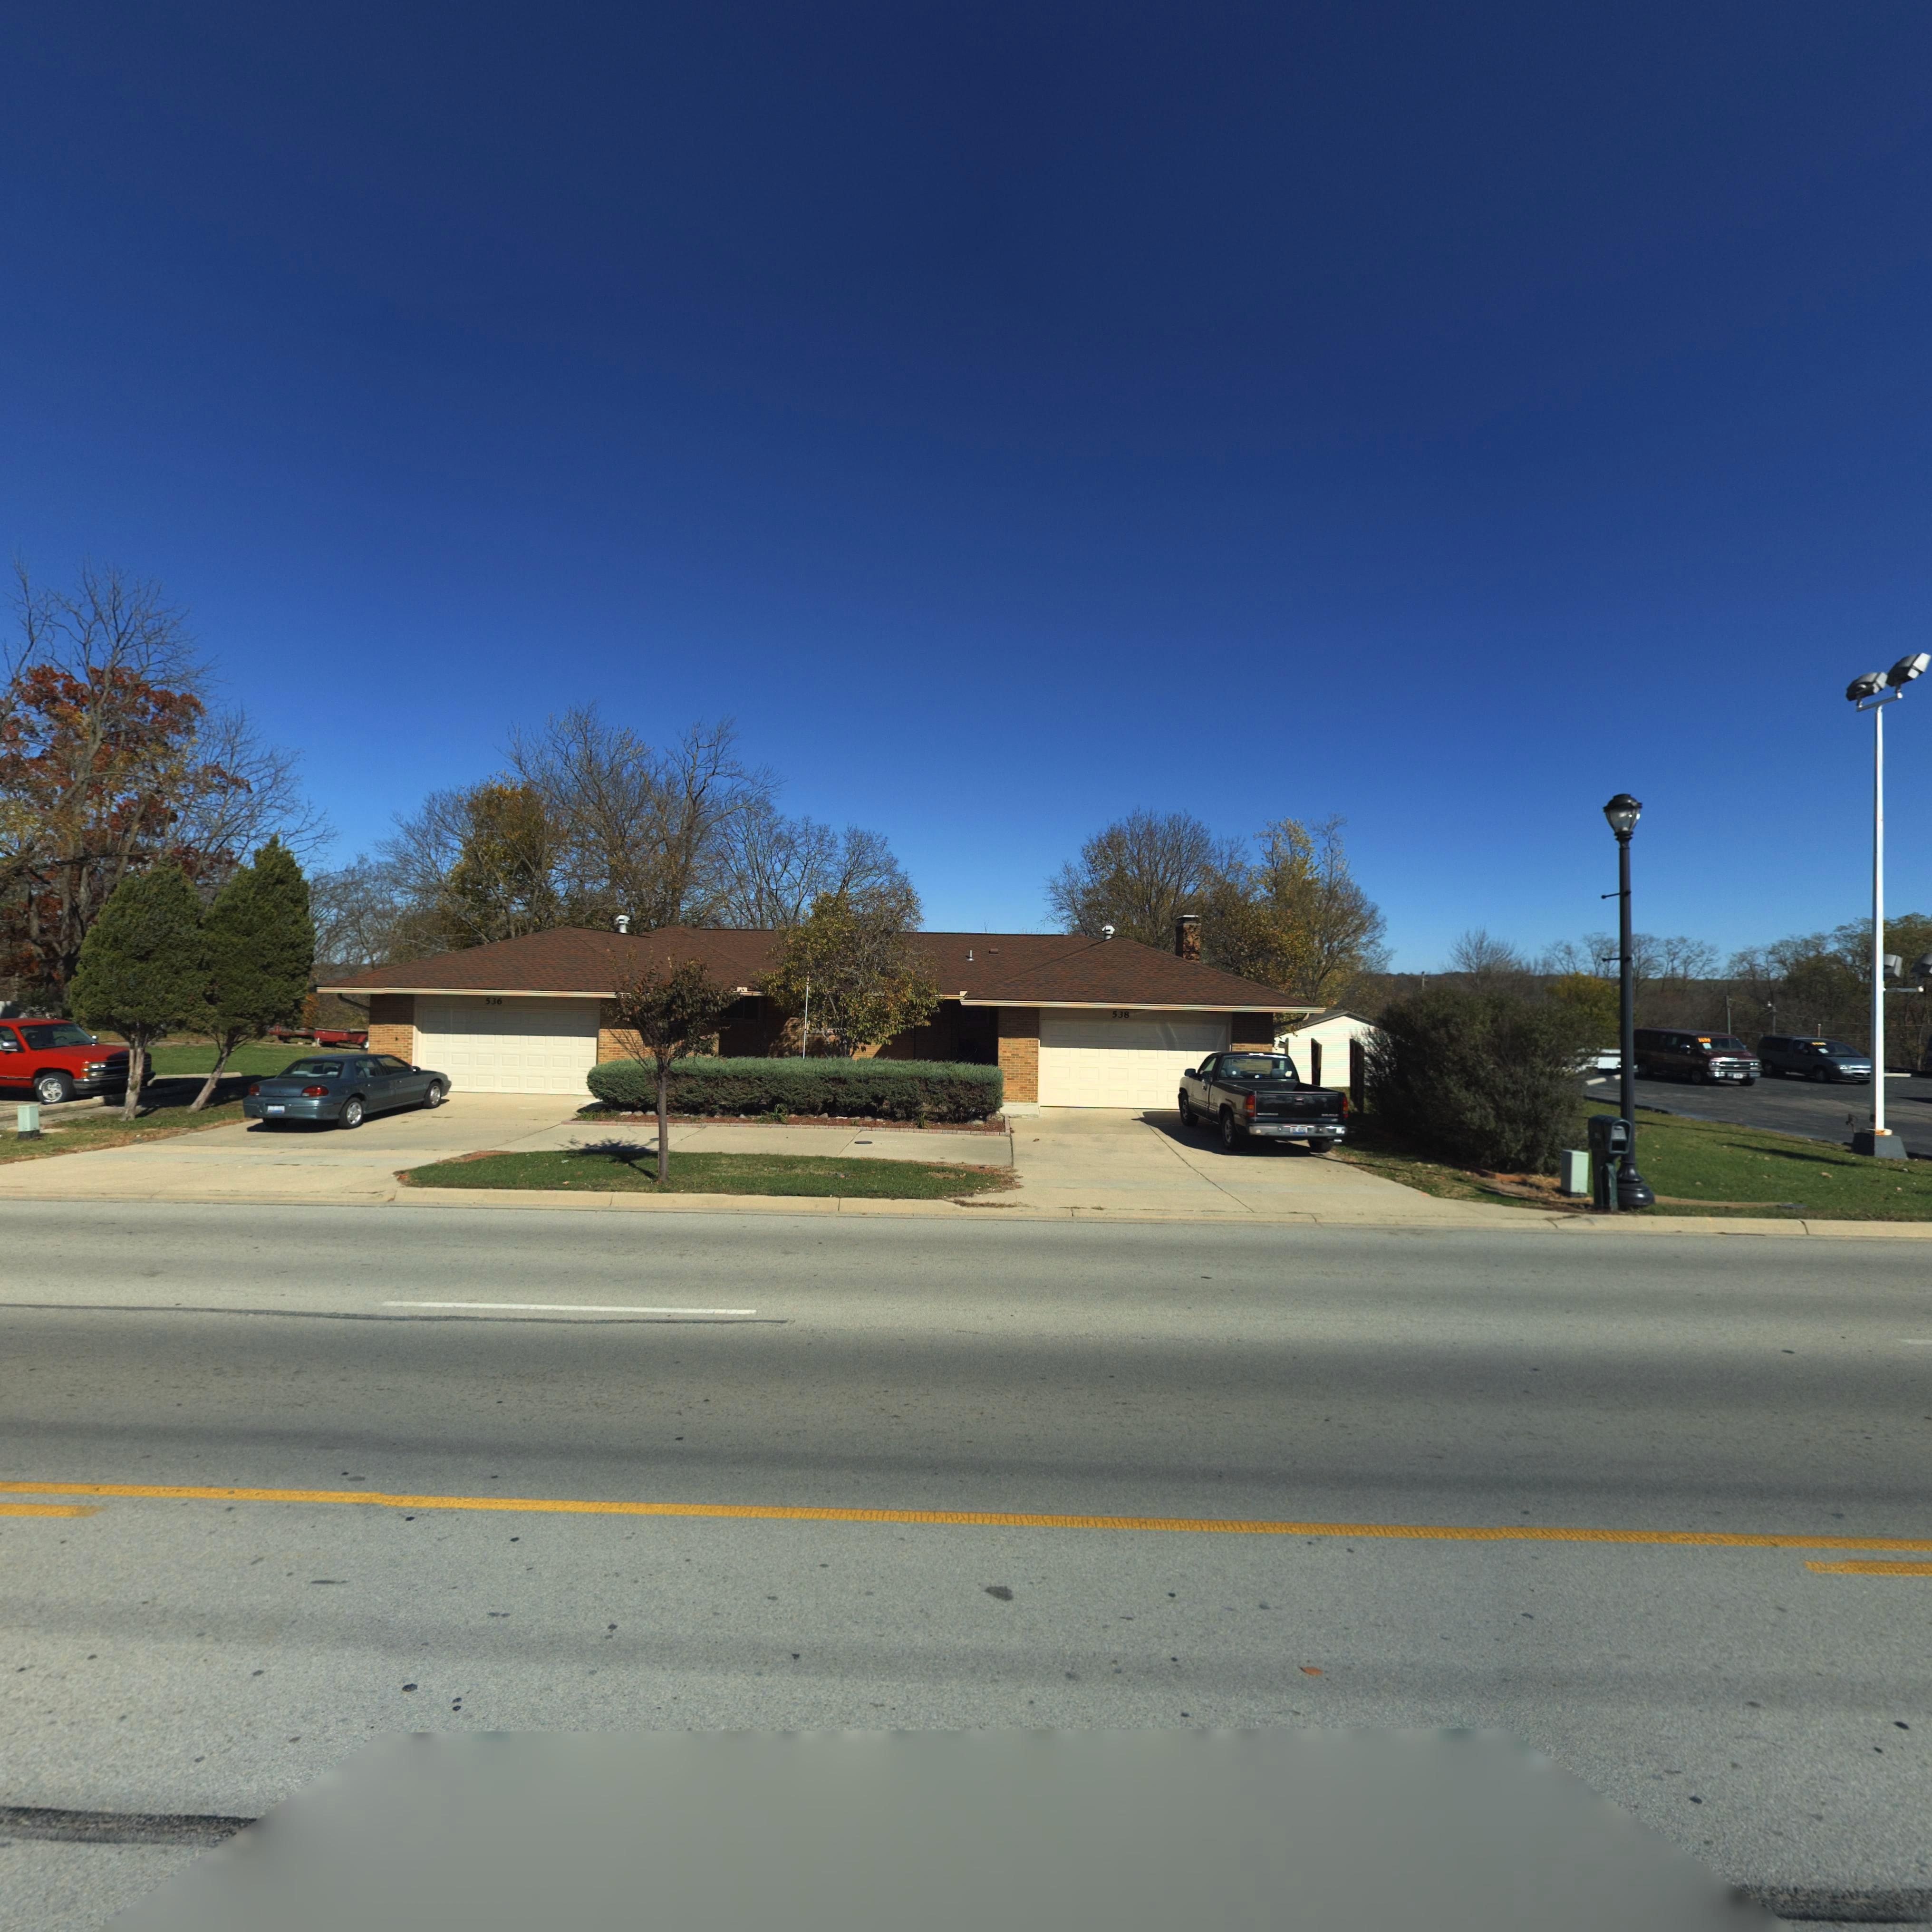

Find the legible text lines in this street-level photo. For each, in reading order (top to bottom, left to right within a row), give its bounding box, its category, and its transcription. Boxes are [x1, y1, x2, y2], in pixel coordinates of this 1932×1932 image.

[484, 996, 503, 1006] StreetNumber: 536
[1111, 1010, 1131, 1019] StreetNumber: 538